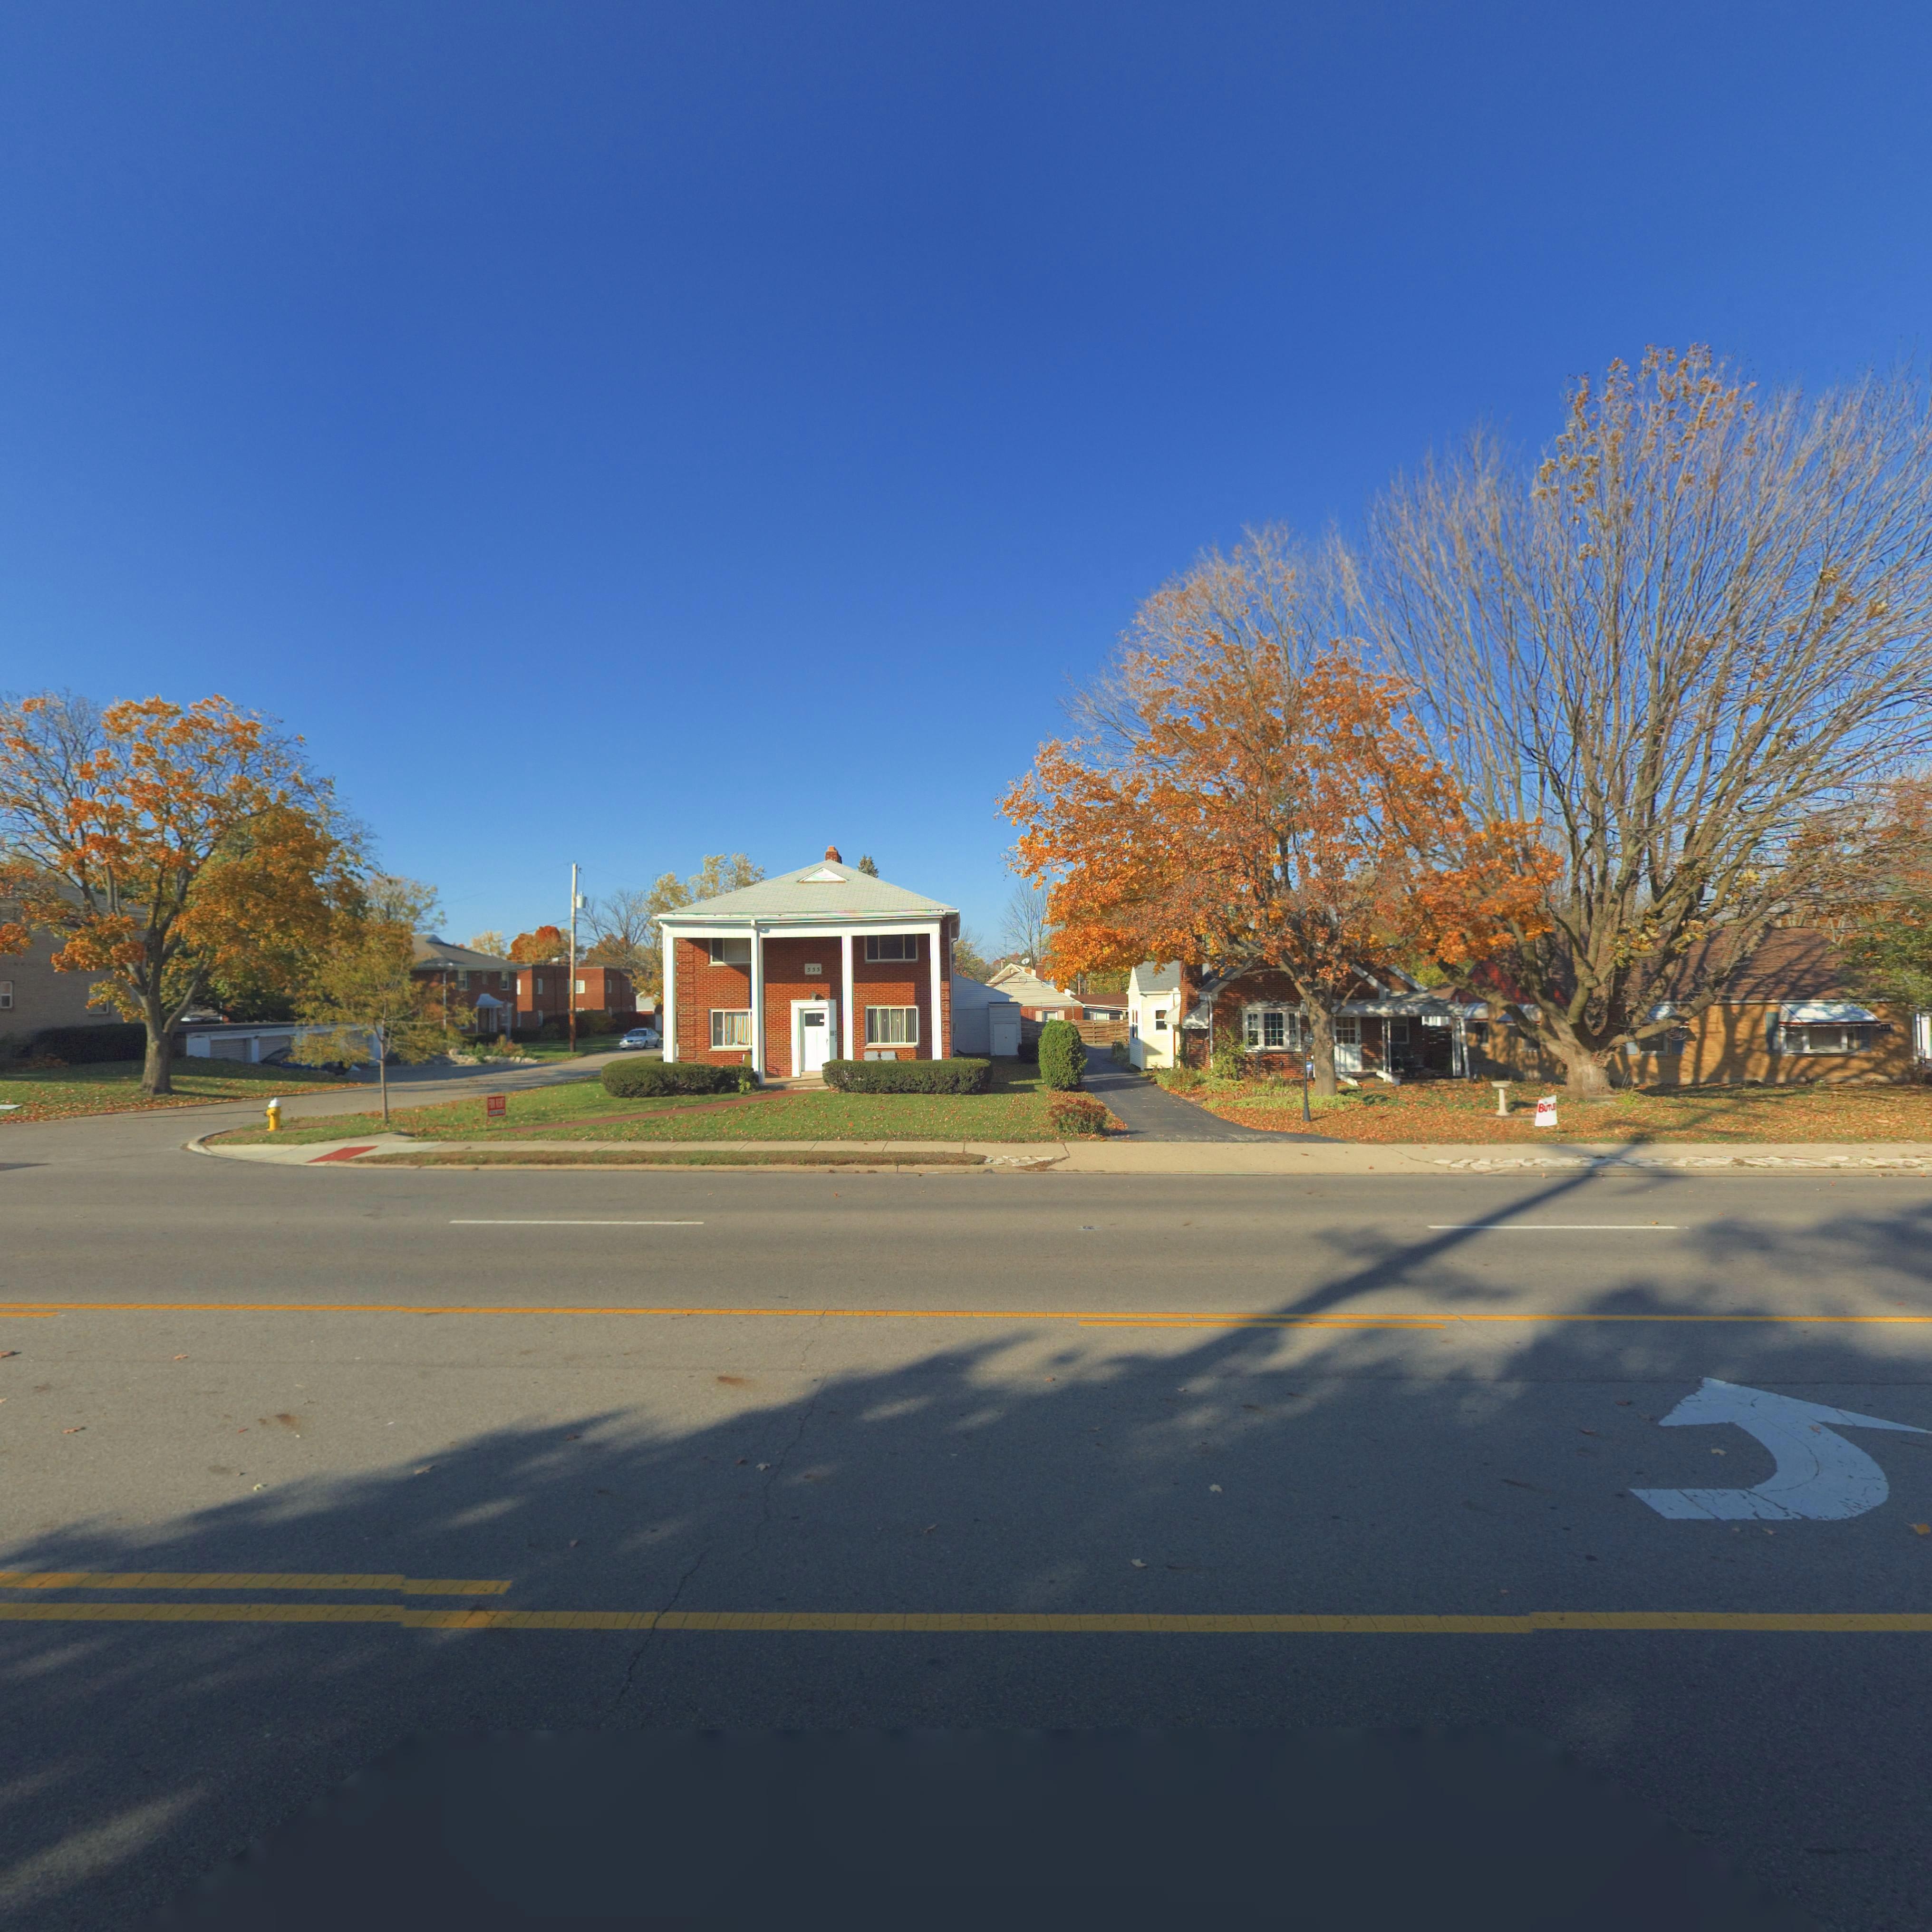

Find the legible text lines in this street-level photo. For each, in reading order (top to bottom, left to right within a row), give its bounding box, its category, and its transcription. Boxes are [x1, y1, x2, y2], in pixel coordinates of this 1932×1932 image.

[807, 966, 821, 973] StreetNumber: 555